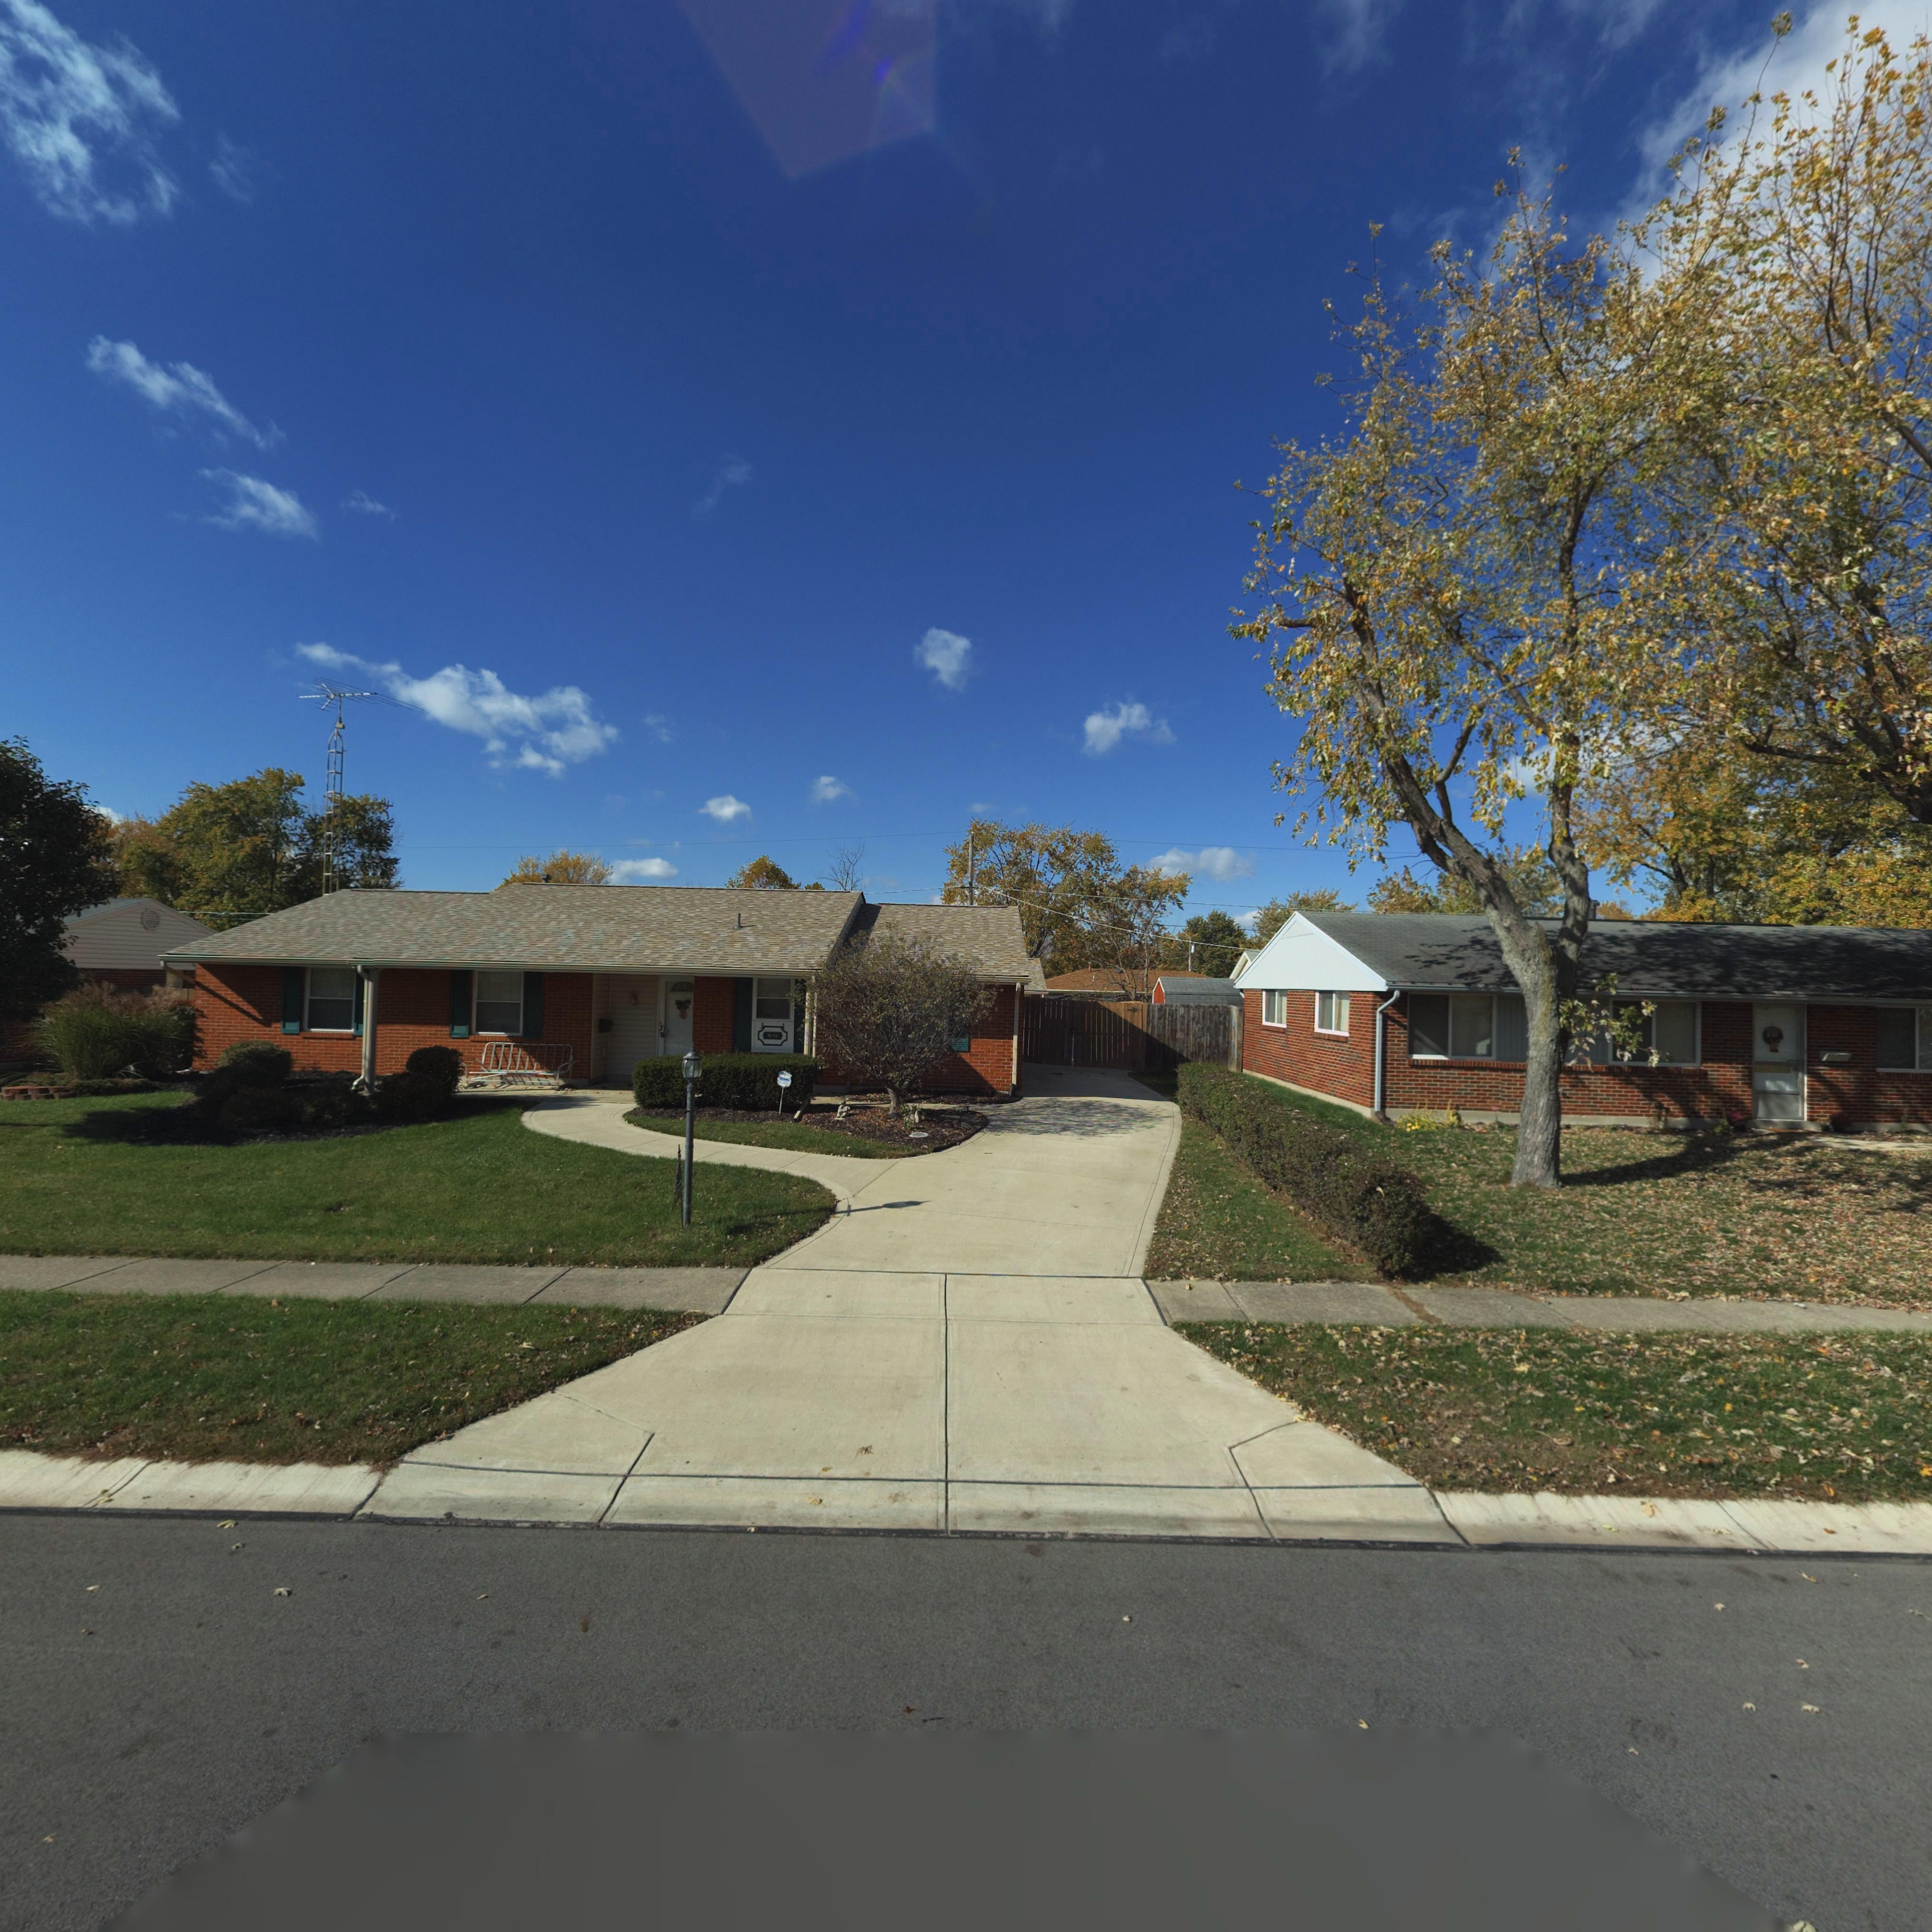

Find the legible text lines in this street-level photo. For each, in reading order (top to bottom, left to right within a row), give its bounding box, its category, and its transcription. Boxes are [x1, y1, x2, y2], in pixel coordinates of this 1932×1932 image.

[767, 1033, 779, 1038] StreetNumber: 7***